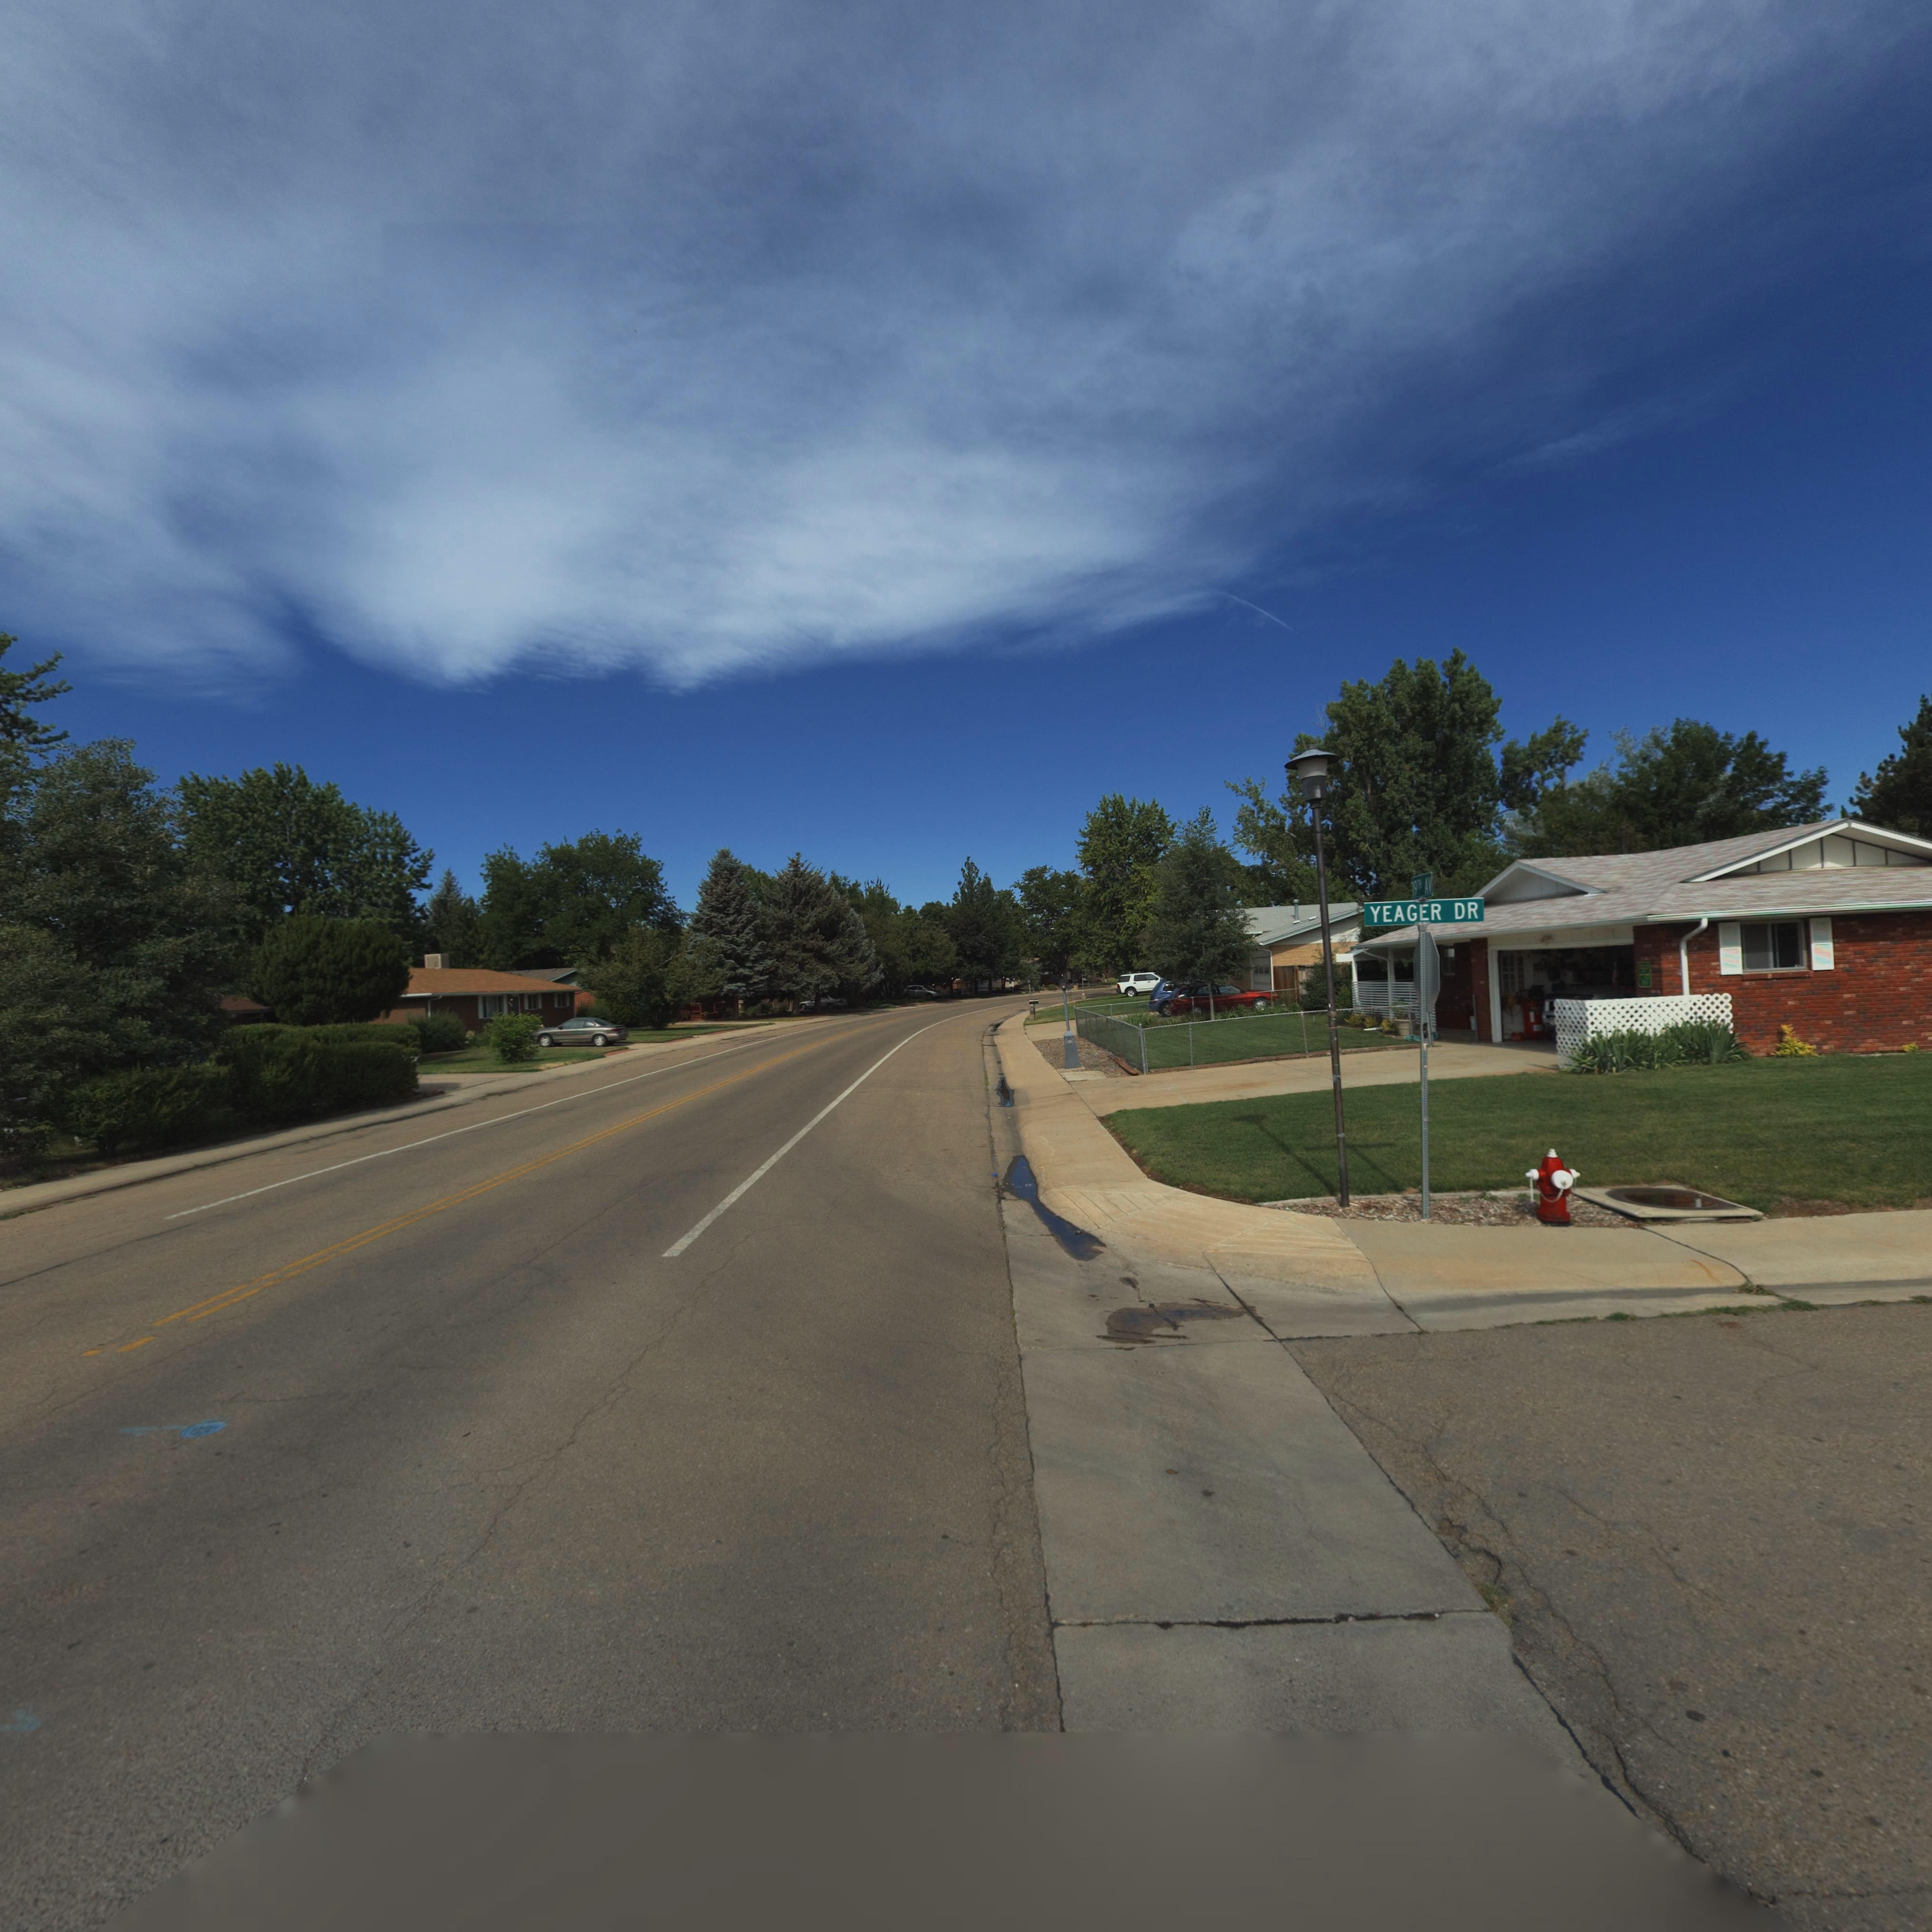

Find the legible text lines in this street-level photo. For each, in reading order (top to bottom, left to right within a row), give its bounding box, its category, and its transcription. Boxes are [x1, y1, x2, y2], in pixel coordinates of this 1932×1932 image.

[1410, 876, 1432, 897] StreetName: 19TH AV
[1368, 900, 1480, 923] StreetName: YEAGER DR